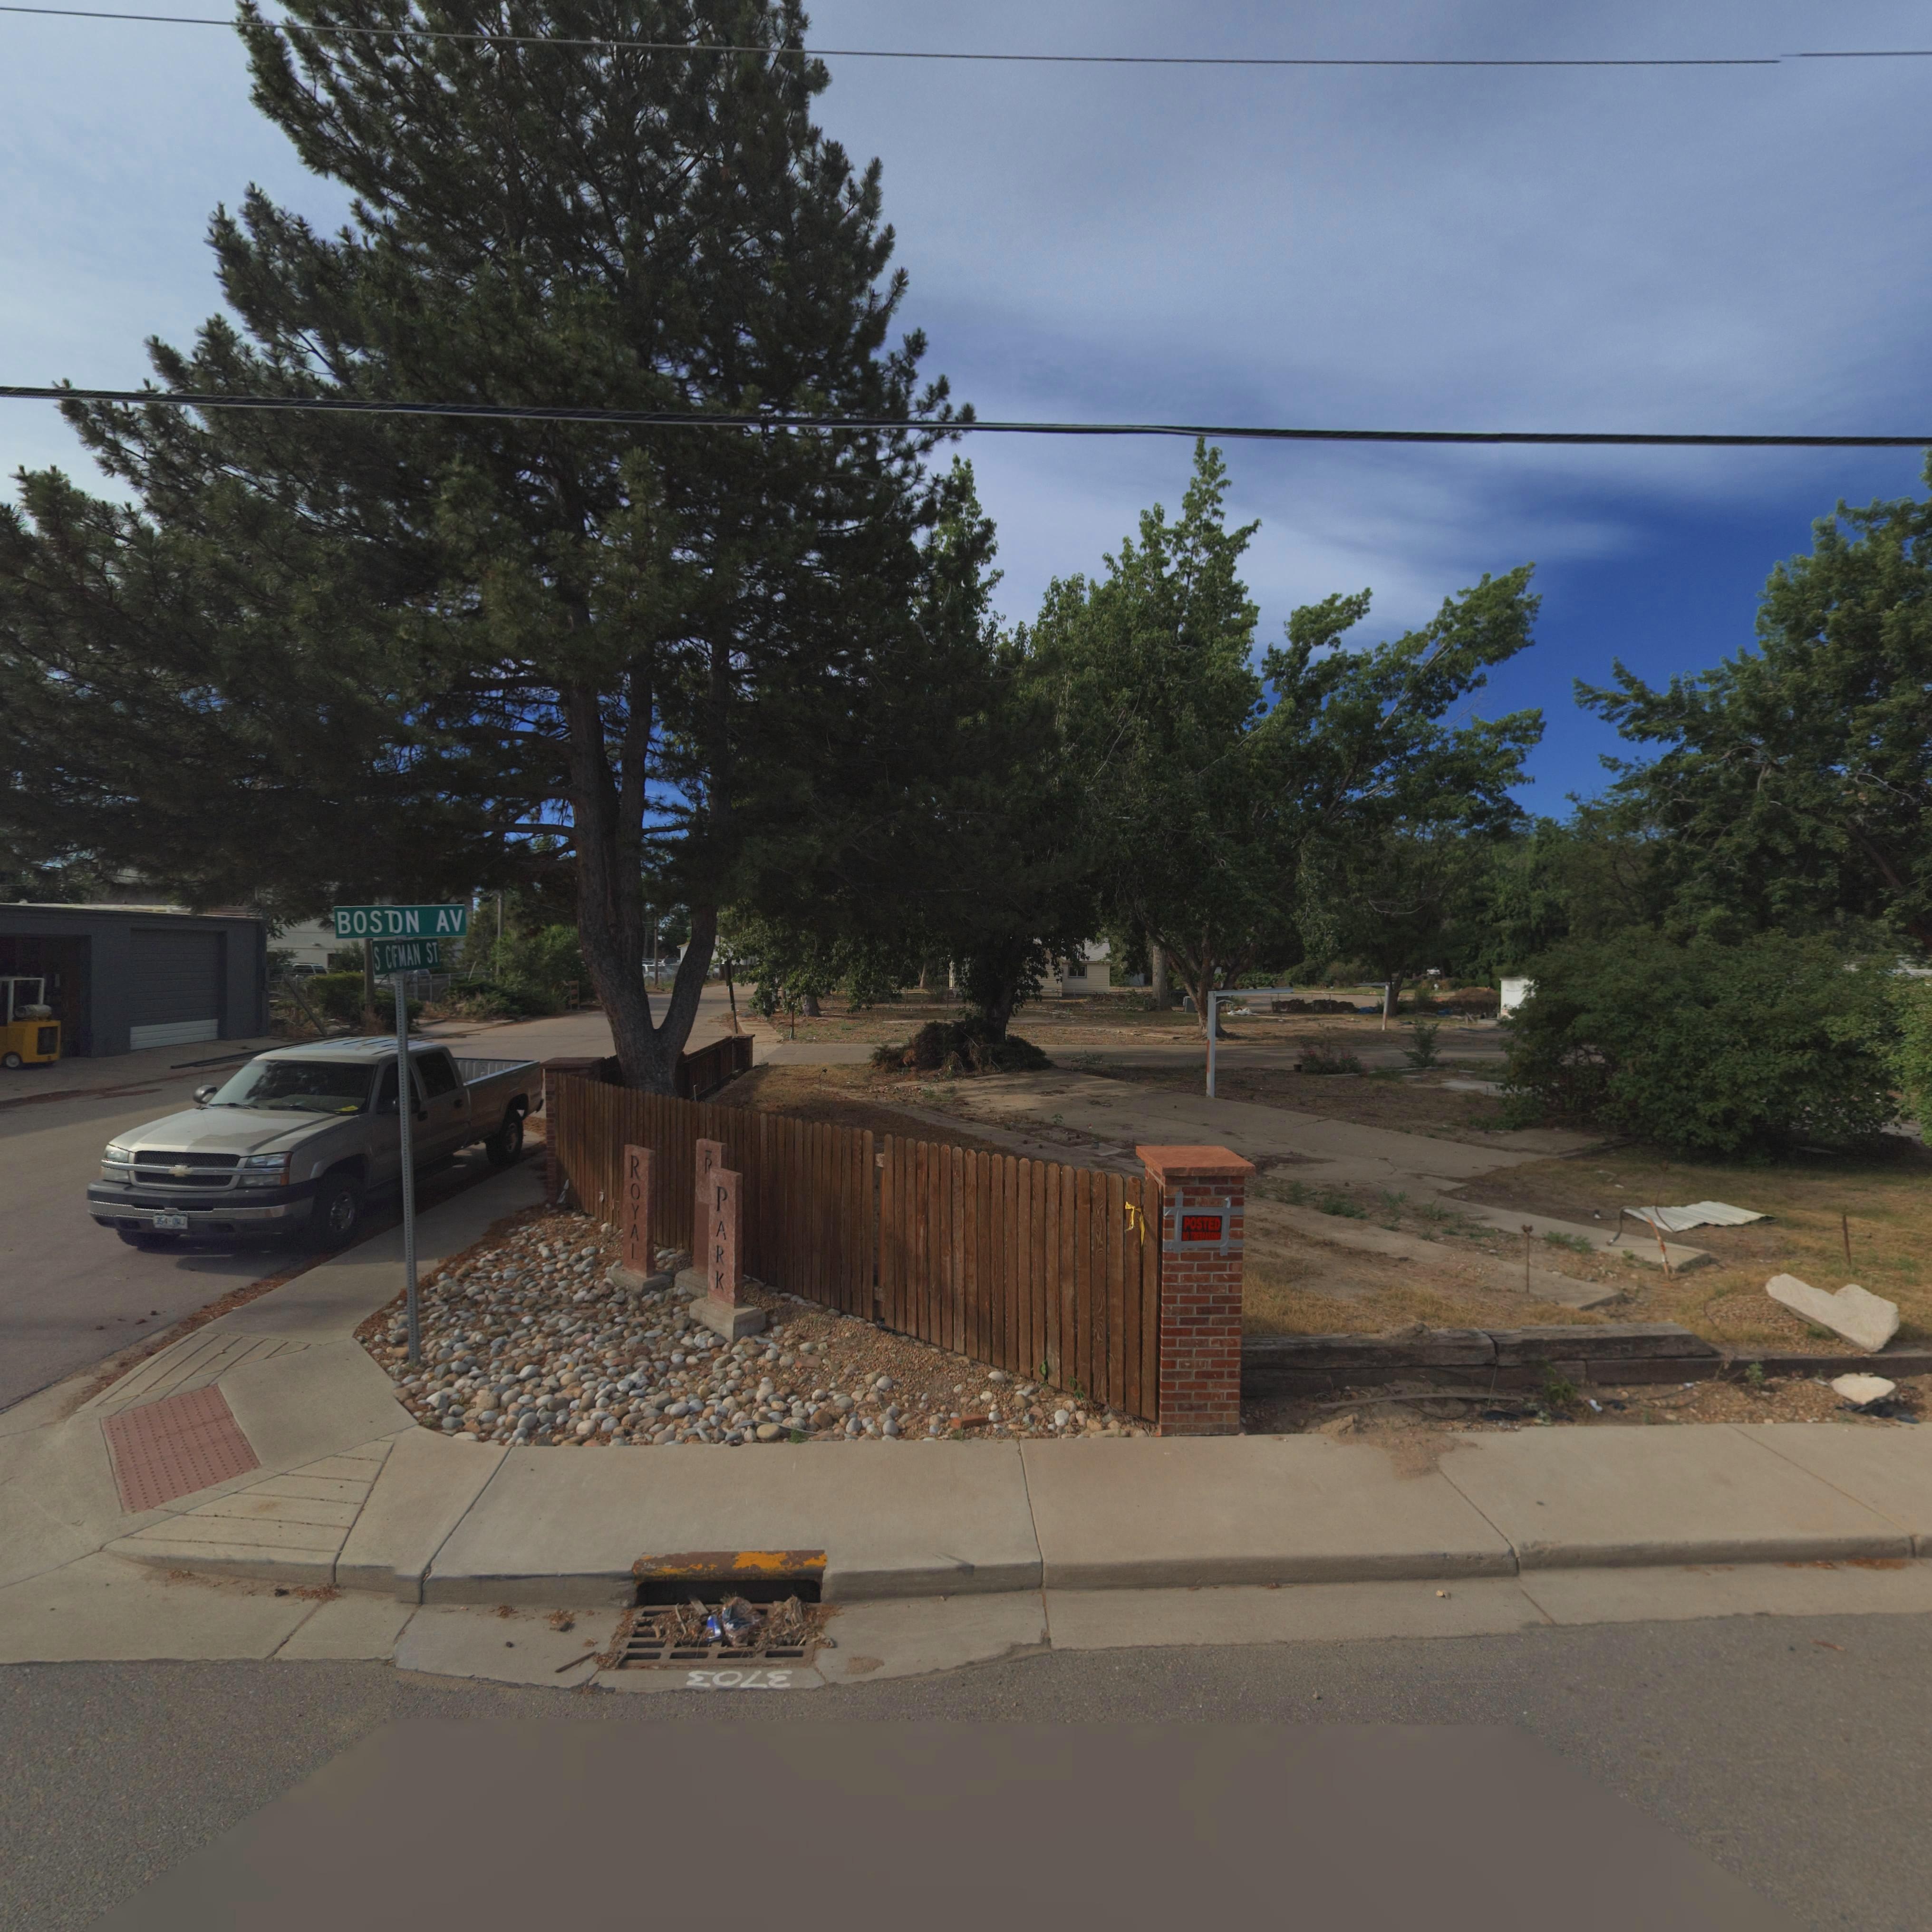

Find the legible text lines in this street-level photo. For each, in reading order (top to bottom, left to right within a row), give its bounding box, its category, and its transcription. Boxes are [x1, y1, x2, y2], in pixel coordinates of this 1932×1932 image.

[336, 908, 464, 934] StreetName: BOS*ON AV
[373, 941, 439, 971] StreetName: S C*FMAN ST